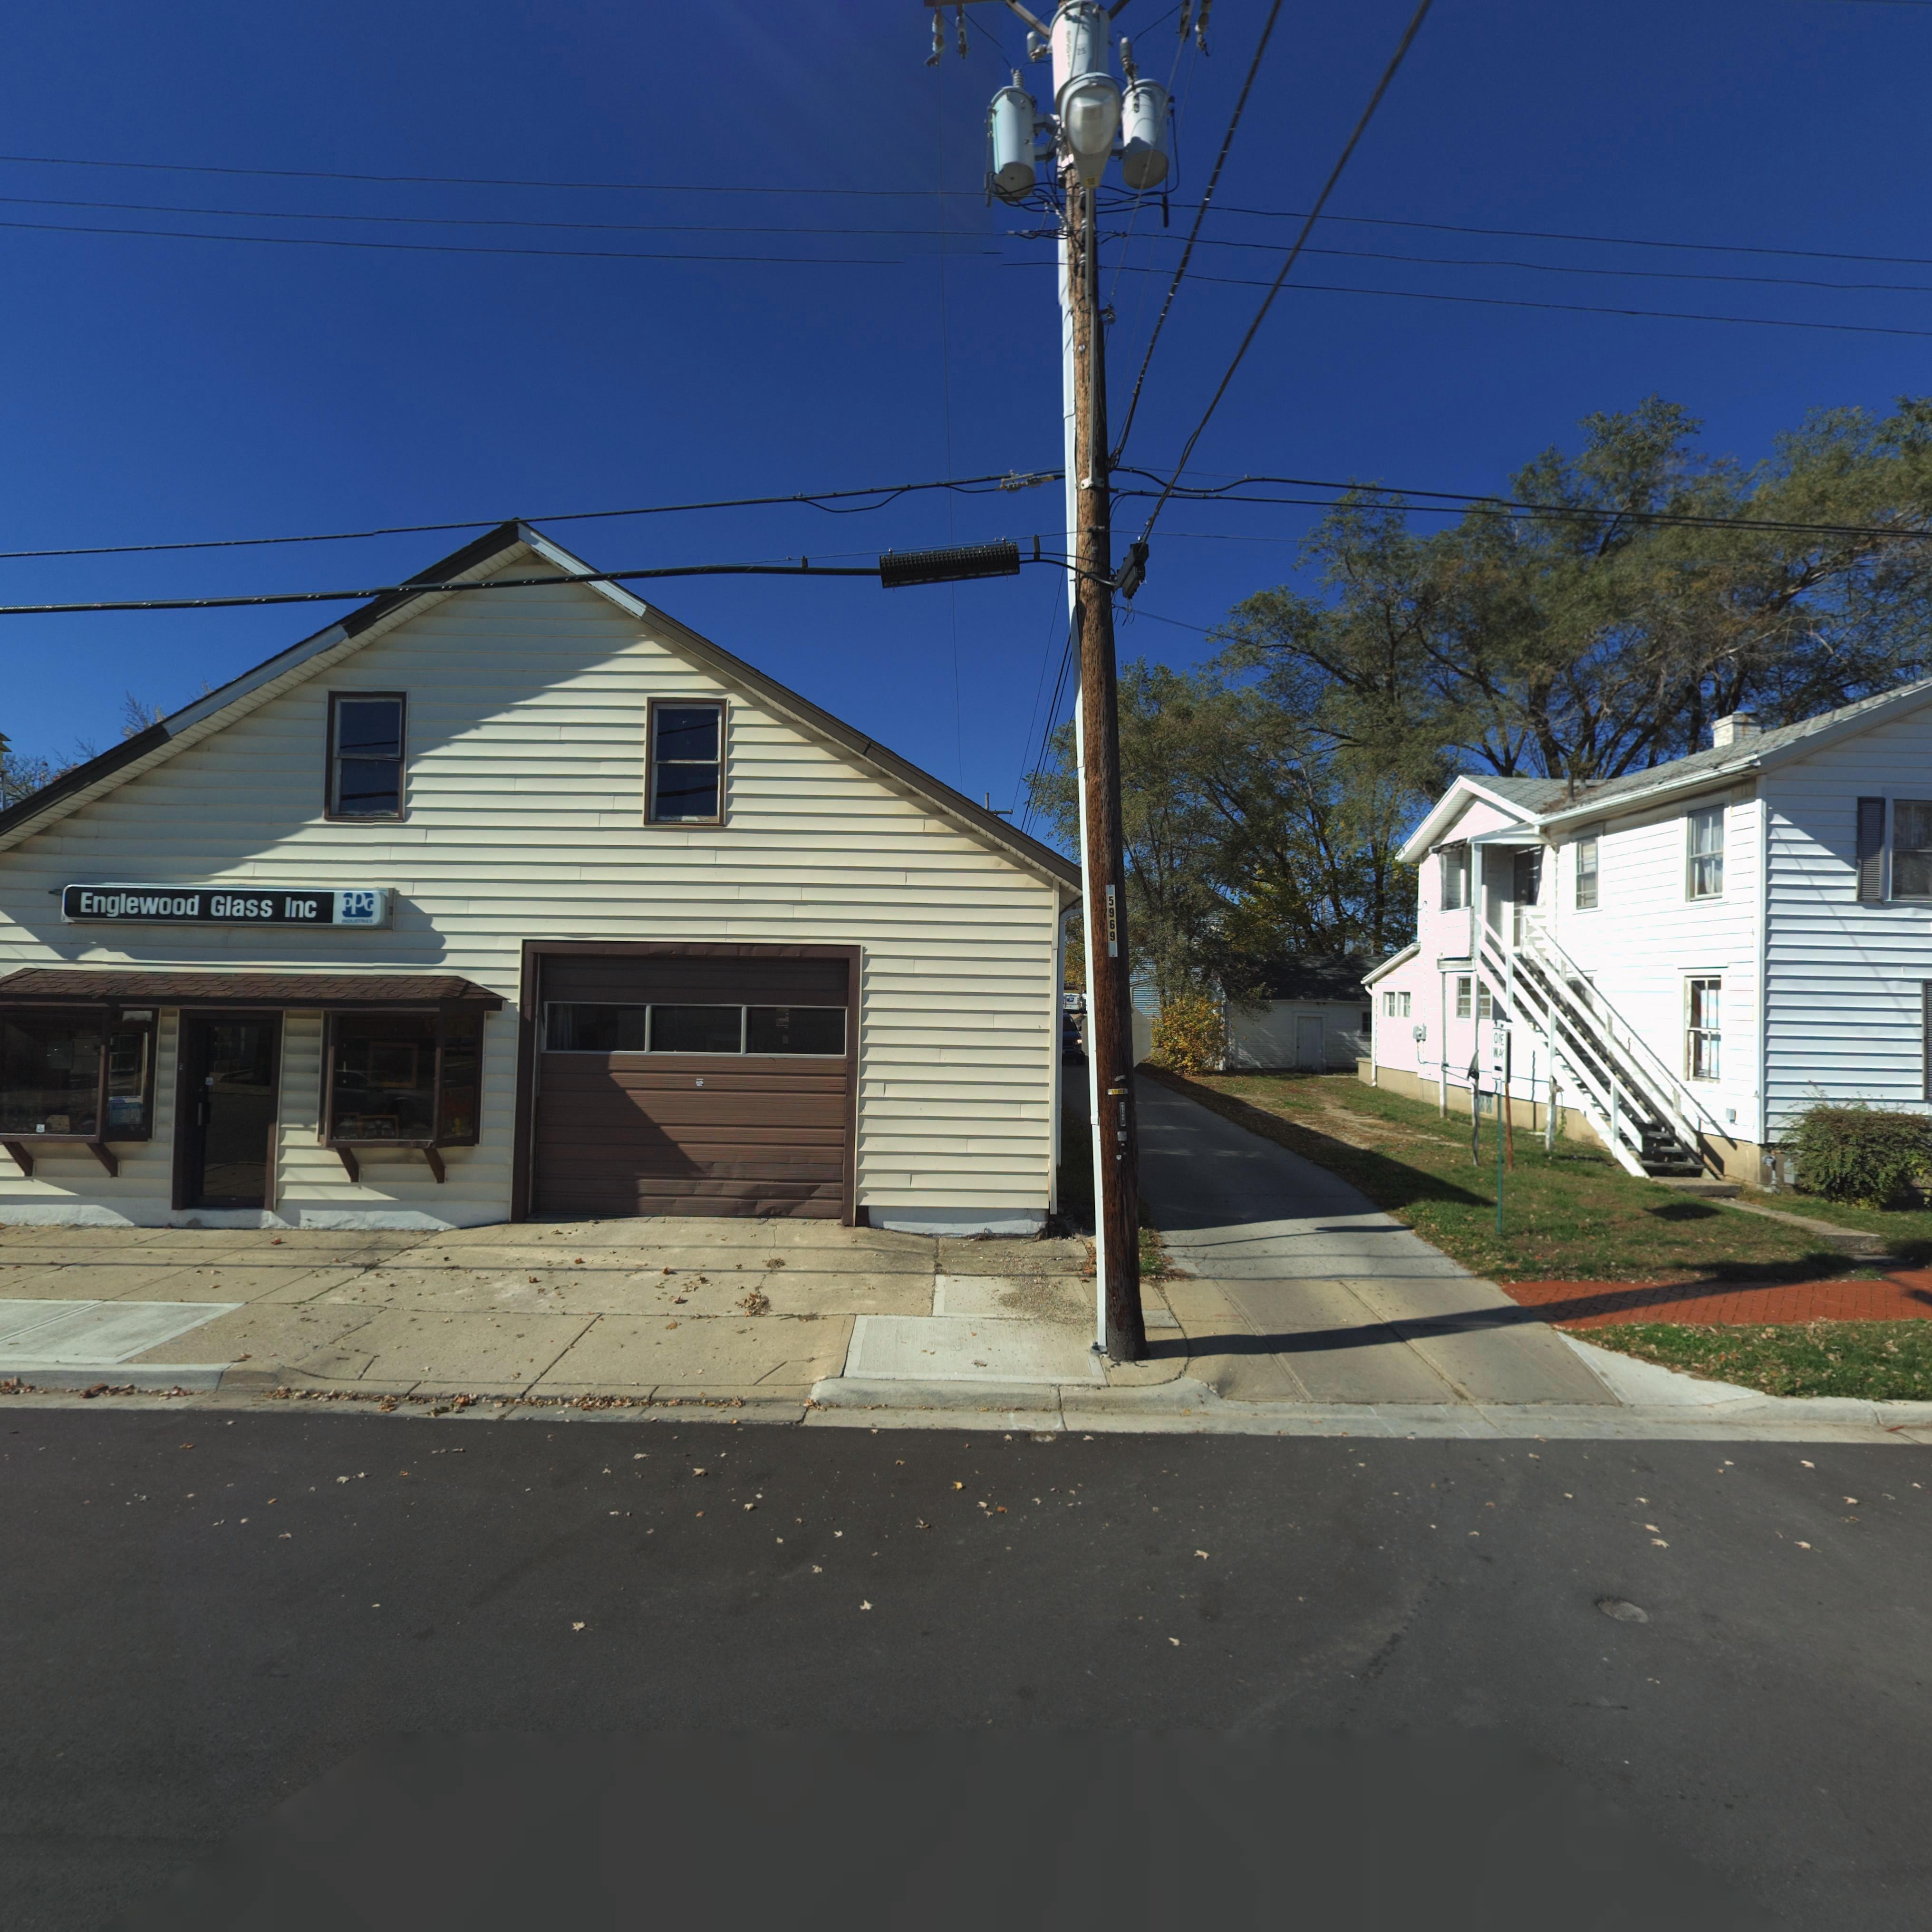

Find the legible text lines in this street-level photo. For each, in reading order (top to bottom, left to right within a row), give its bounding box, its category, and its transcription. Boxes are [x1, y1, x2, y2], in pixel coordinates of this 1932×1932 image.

[78, 890, 318, 919] BusinessName: Englewood Glass Inc
[341, 891, 375, 916] None: PPG
[340, 918, 374, 925] None: INDUSTRIES
[1106, 894, 1117, 943] None: 5969
[1493, 1032, 1505, 1047] None: O*E
[178, 1063, 183, 1071] StreetNumber: 9